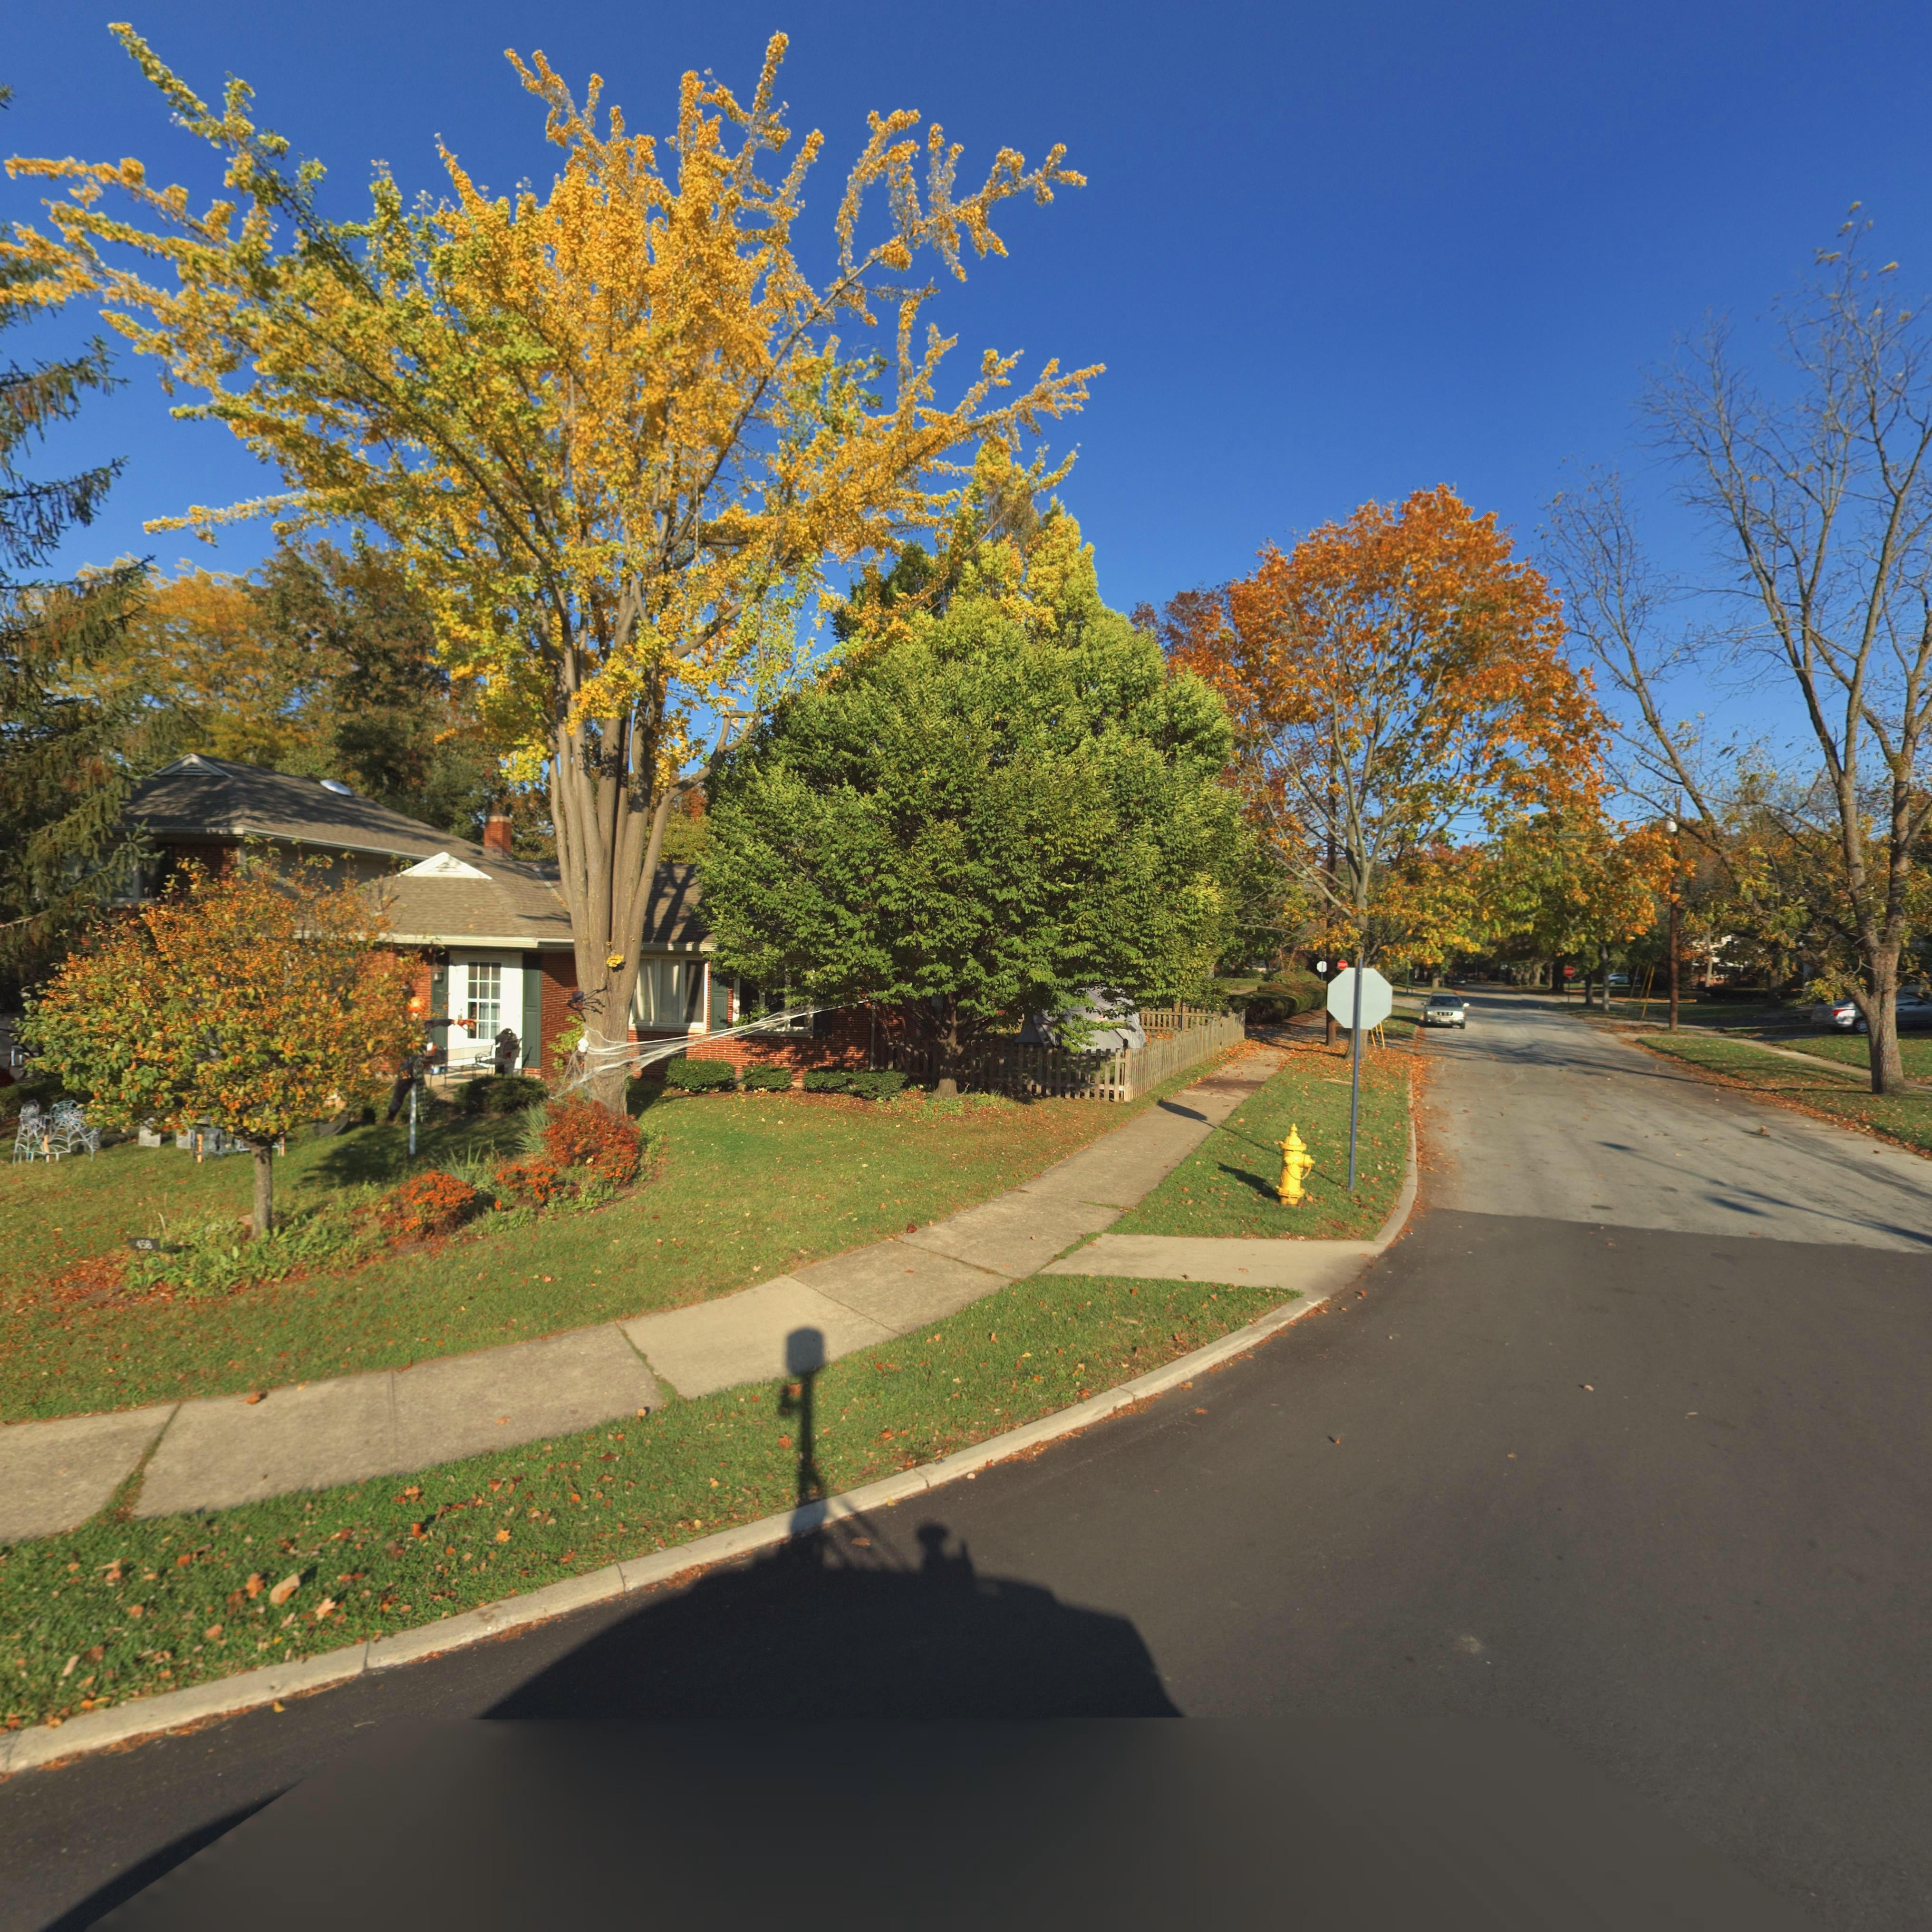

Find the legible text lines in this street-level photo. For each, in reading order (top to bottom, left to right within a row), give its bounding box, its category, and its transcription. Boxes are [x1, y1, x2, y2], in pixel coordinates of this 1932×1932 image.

[135, 1239, 154, 1250] StreetNumber: 458